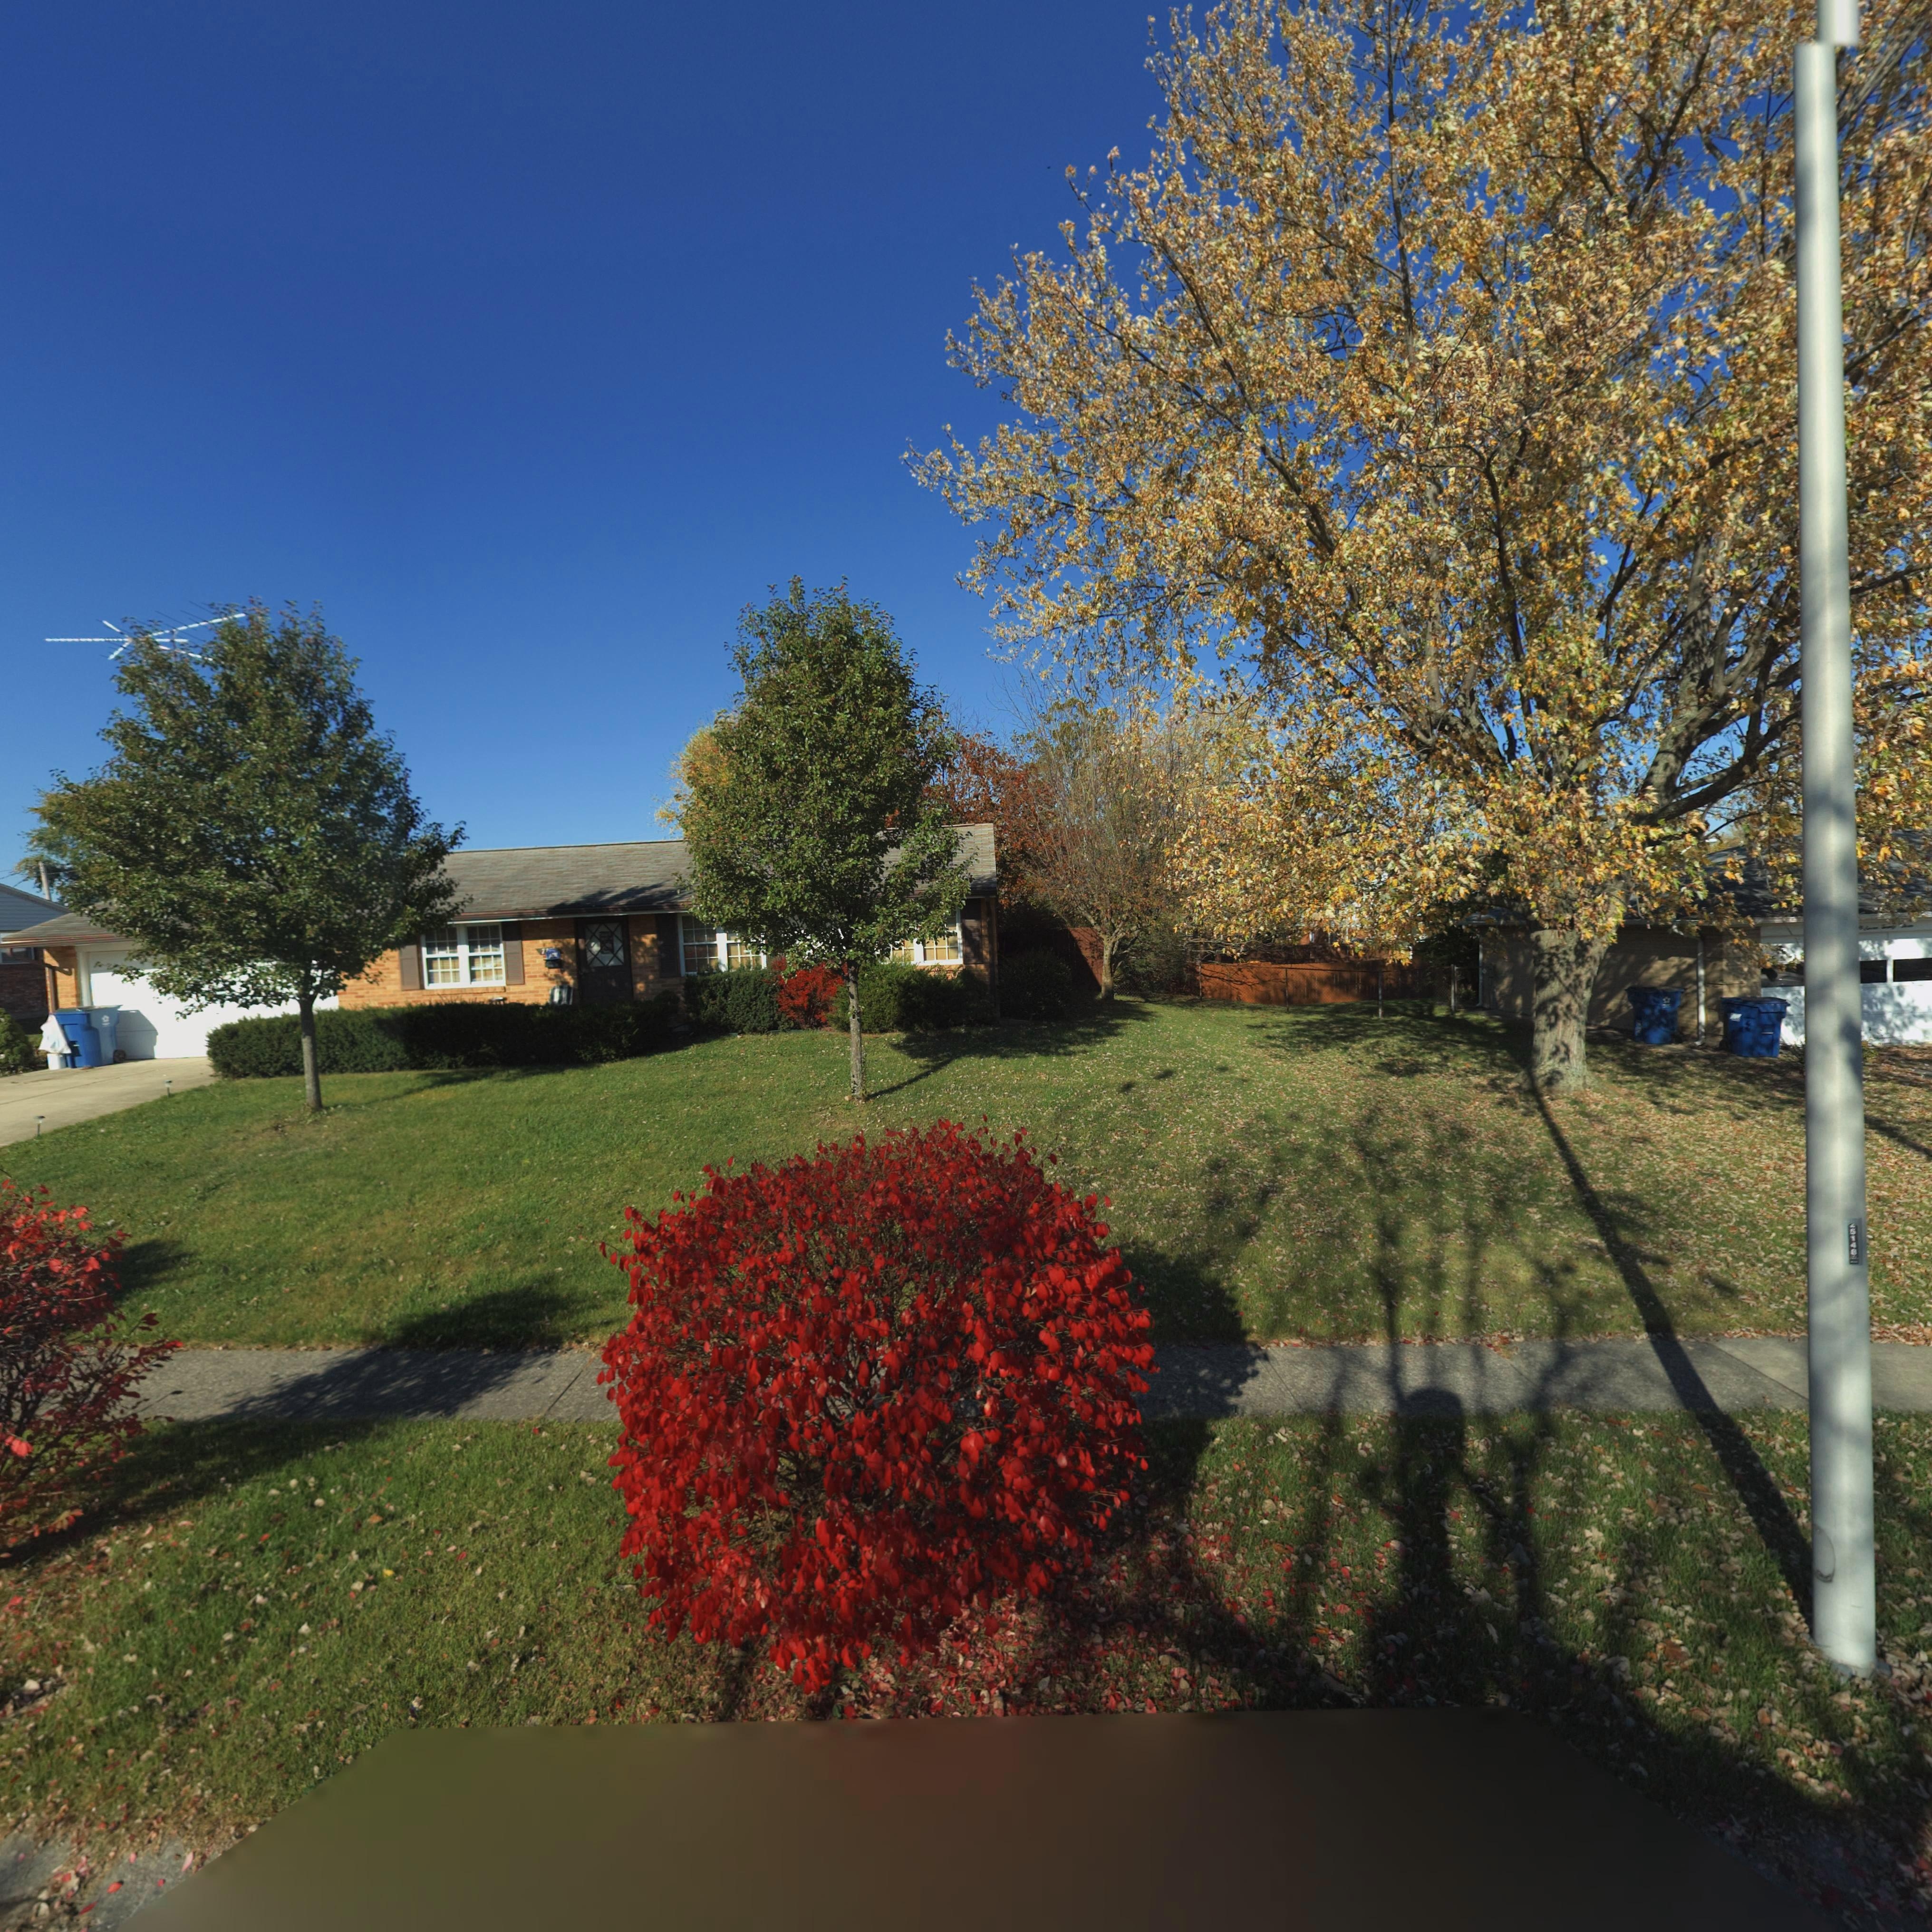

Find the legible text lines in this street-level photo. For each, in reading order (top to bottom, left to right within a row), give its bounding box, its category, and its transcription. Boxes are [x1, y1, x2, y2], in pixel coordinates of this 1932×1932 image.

[540, 947, 546, 956] StreetNumber: 7